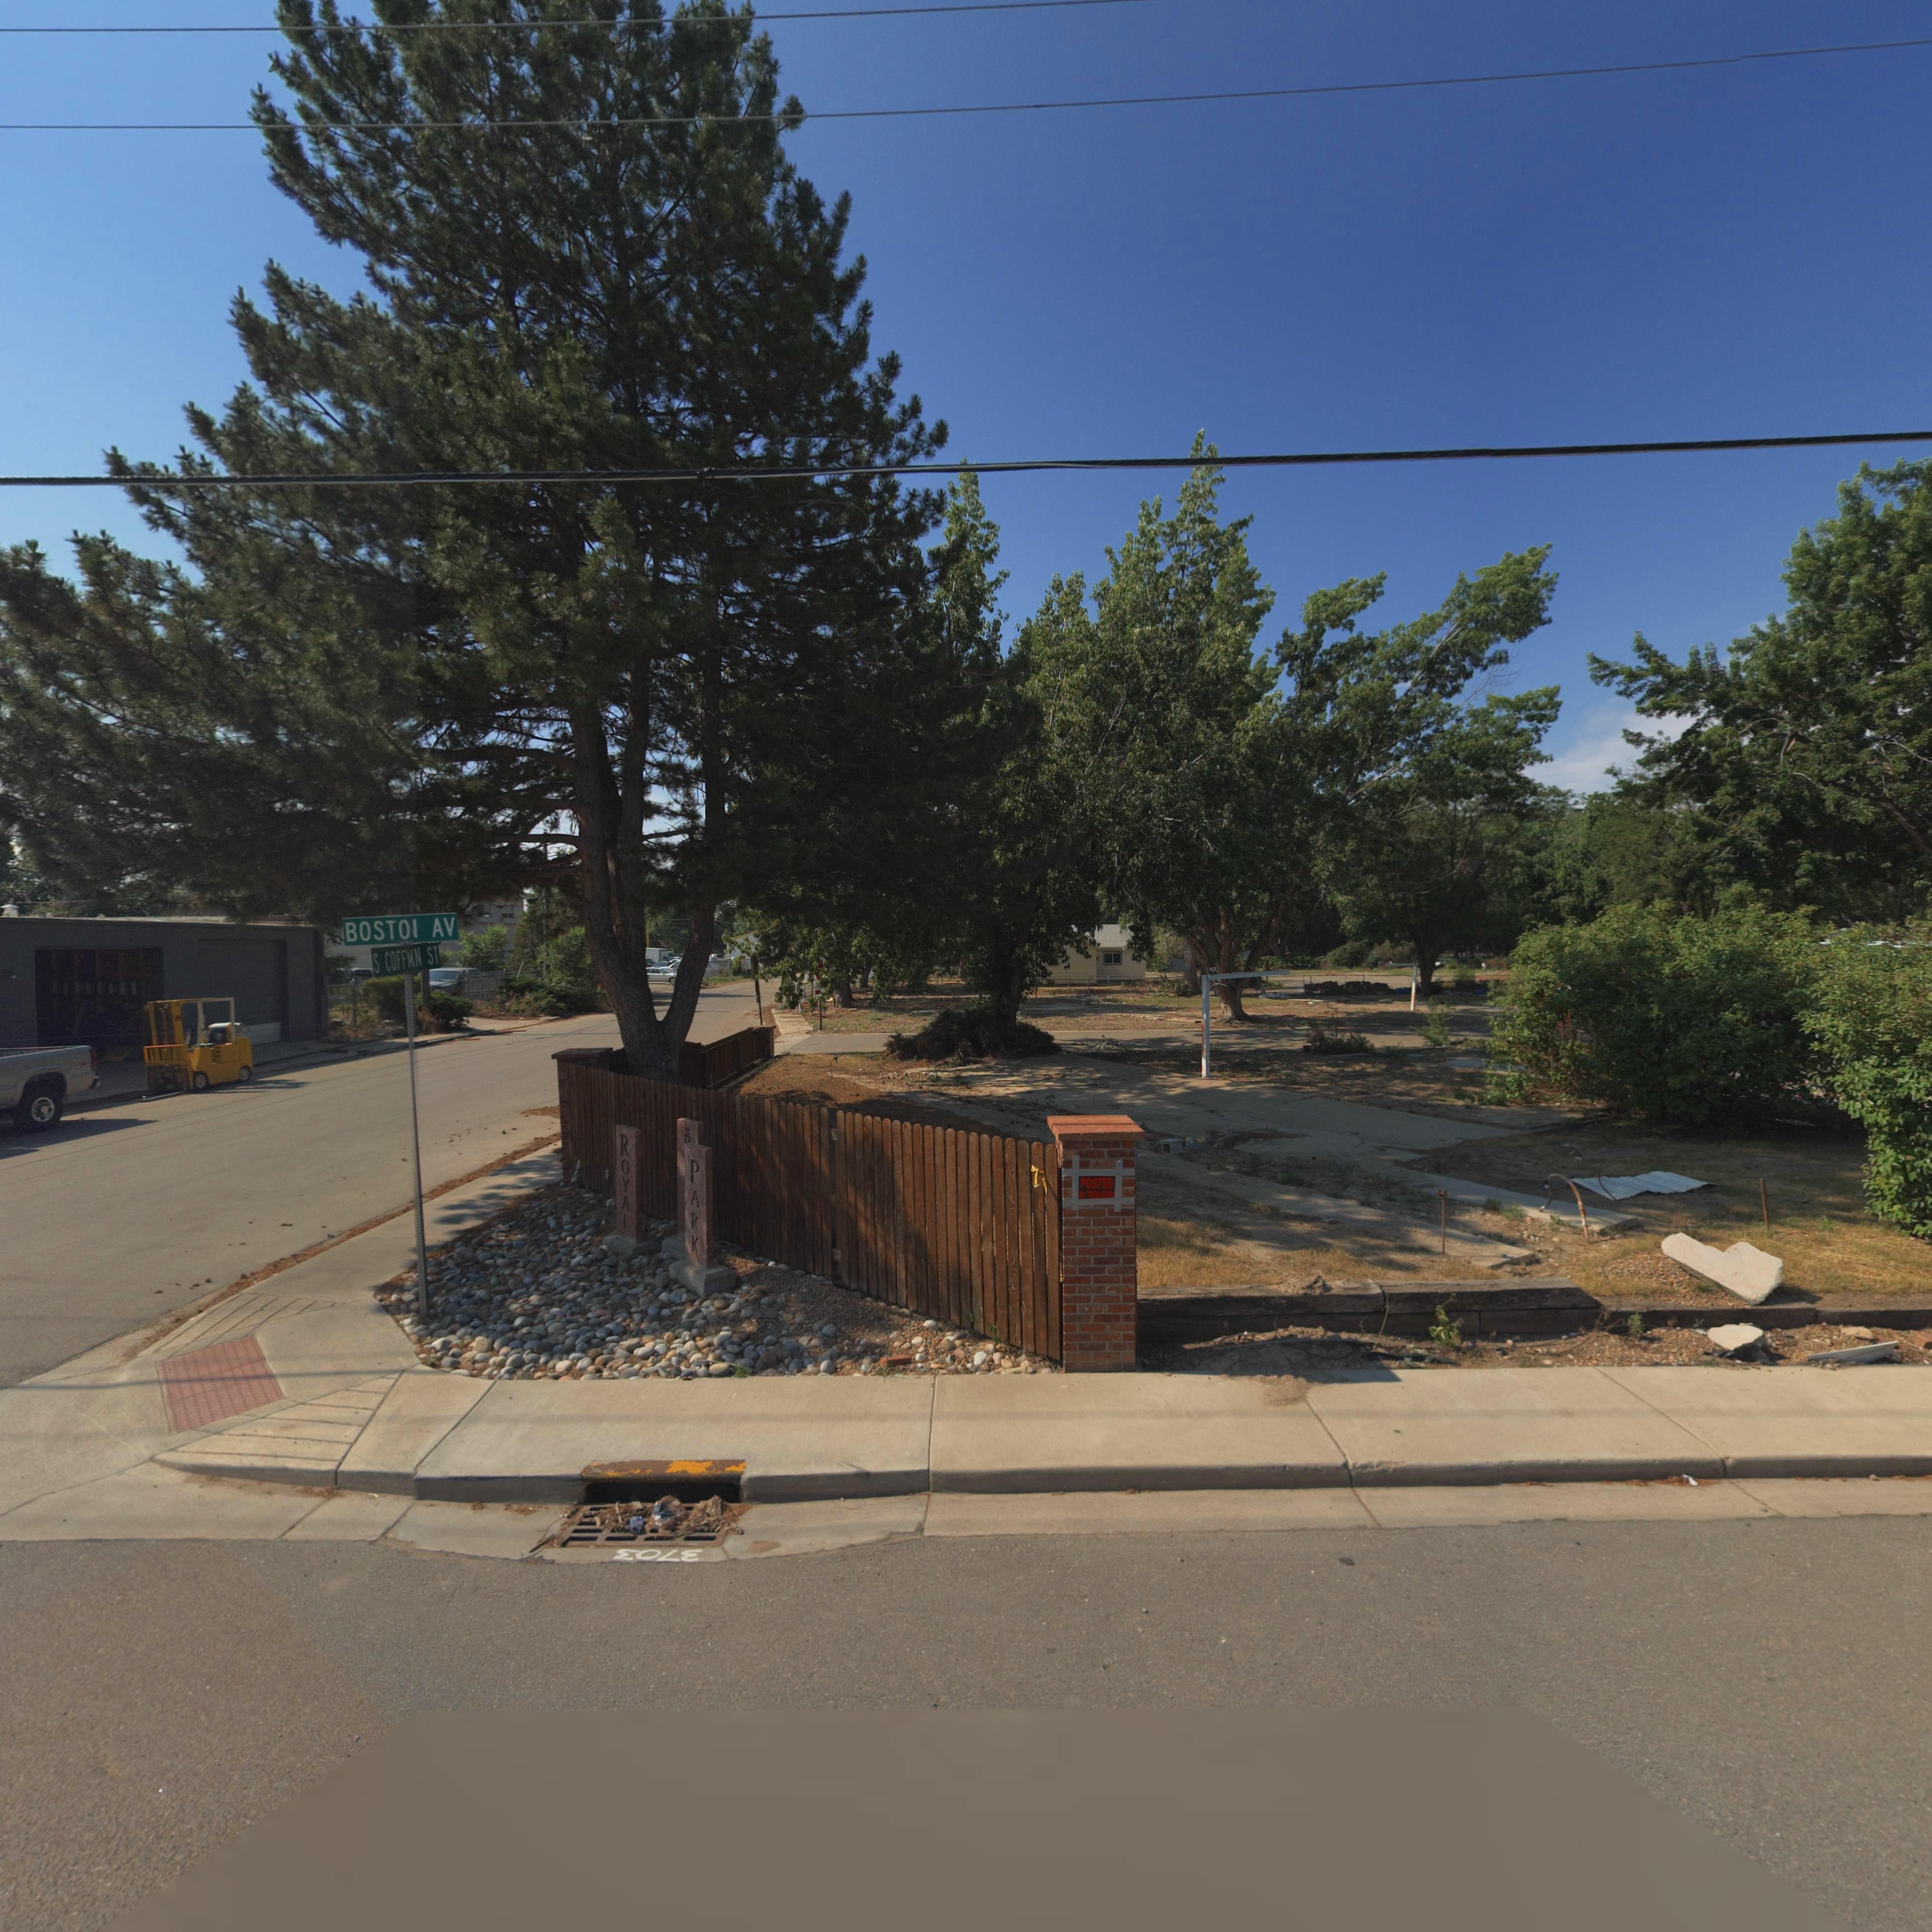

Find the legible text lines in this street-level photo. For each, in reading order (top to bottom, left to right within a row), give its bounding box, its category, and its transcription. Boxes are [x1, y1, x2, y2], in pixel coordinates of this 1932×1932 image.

[344, 916, 456, 943] StreetName: BOSTOI AV
[372, 946, 441, 974] StreetName: S COFFMN ST